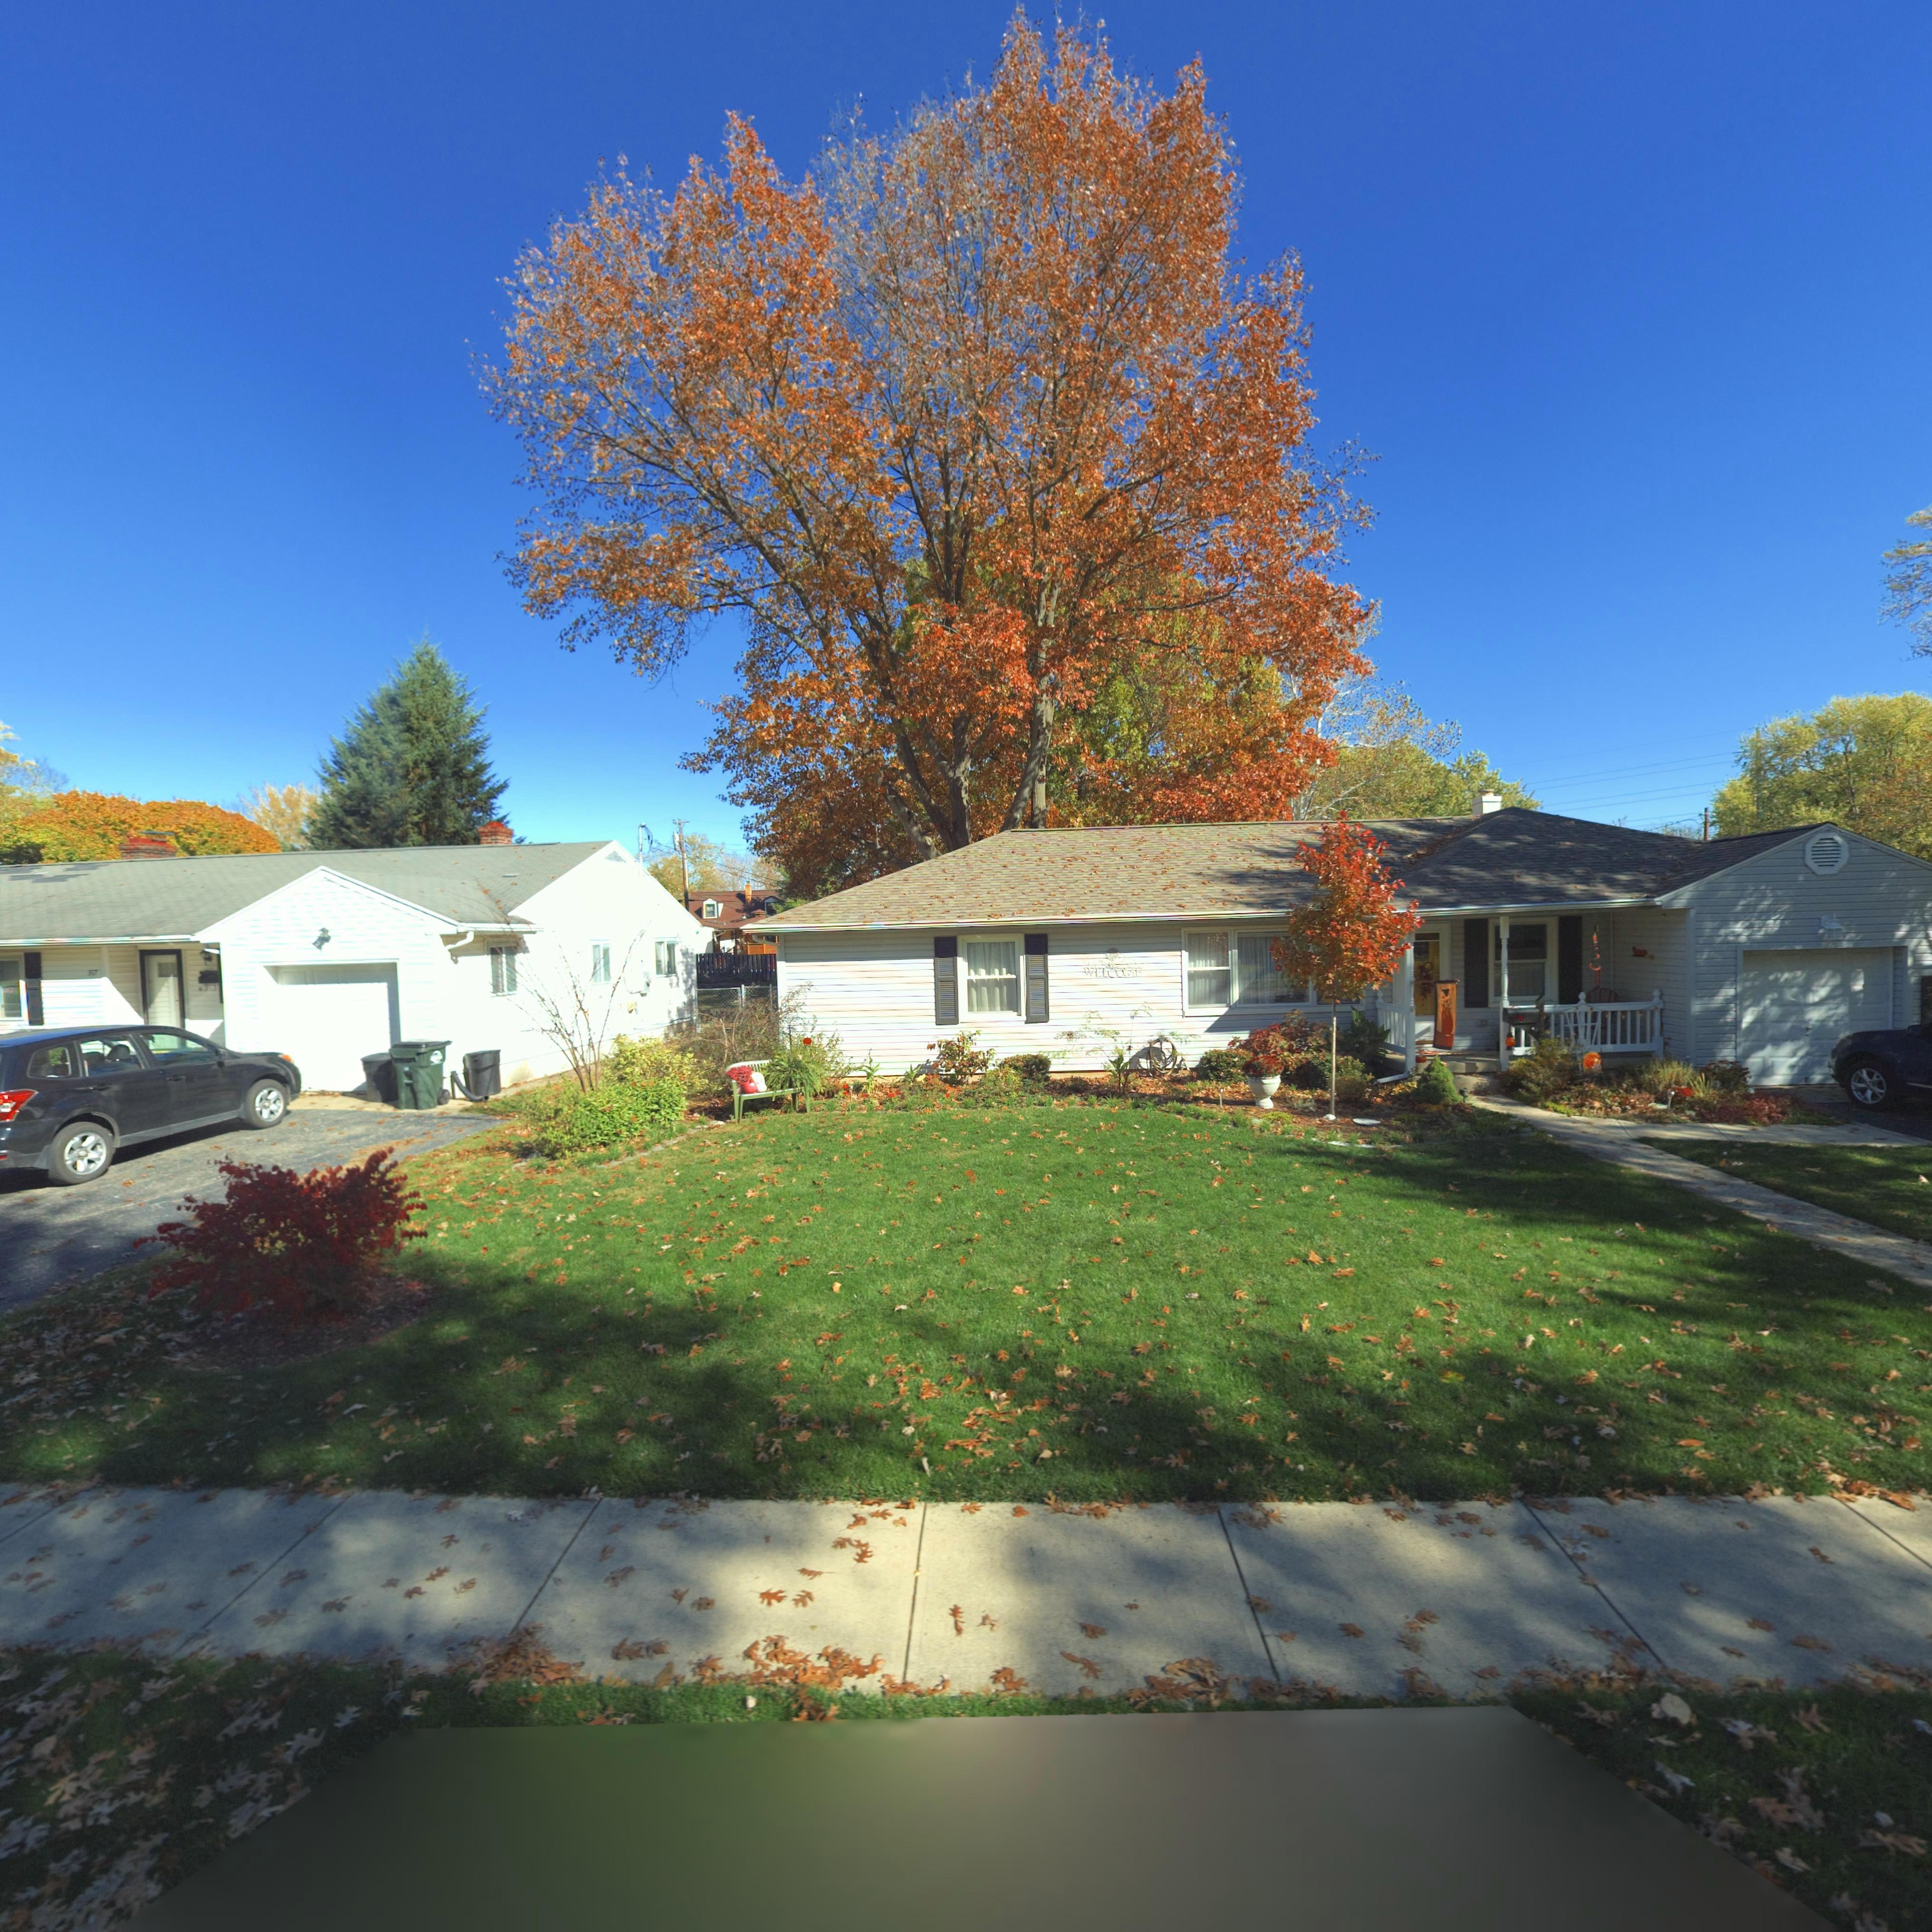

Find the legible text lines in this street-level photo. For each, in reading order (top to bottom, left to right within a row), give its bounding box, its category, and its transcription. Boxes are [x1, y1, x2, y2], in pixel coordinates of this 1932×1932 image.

[87, 969, 98, 976] StreetNumber: 3*7
[1539, 1007, 1545, 1037] StreetNumber: 313